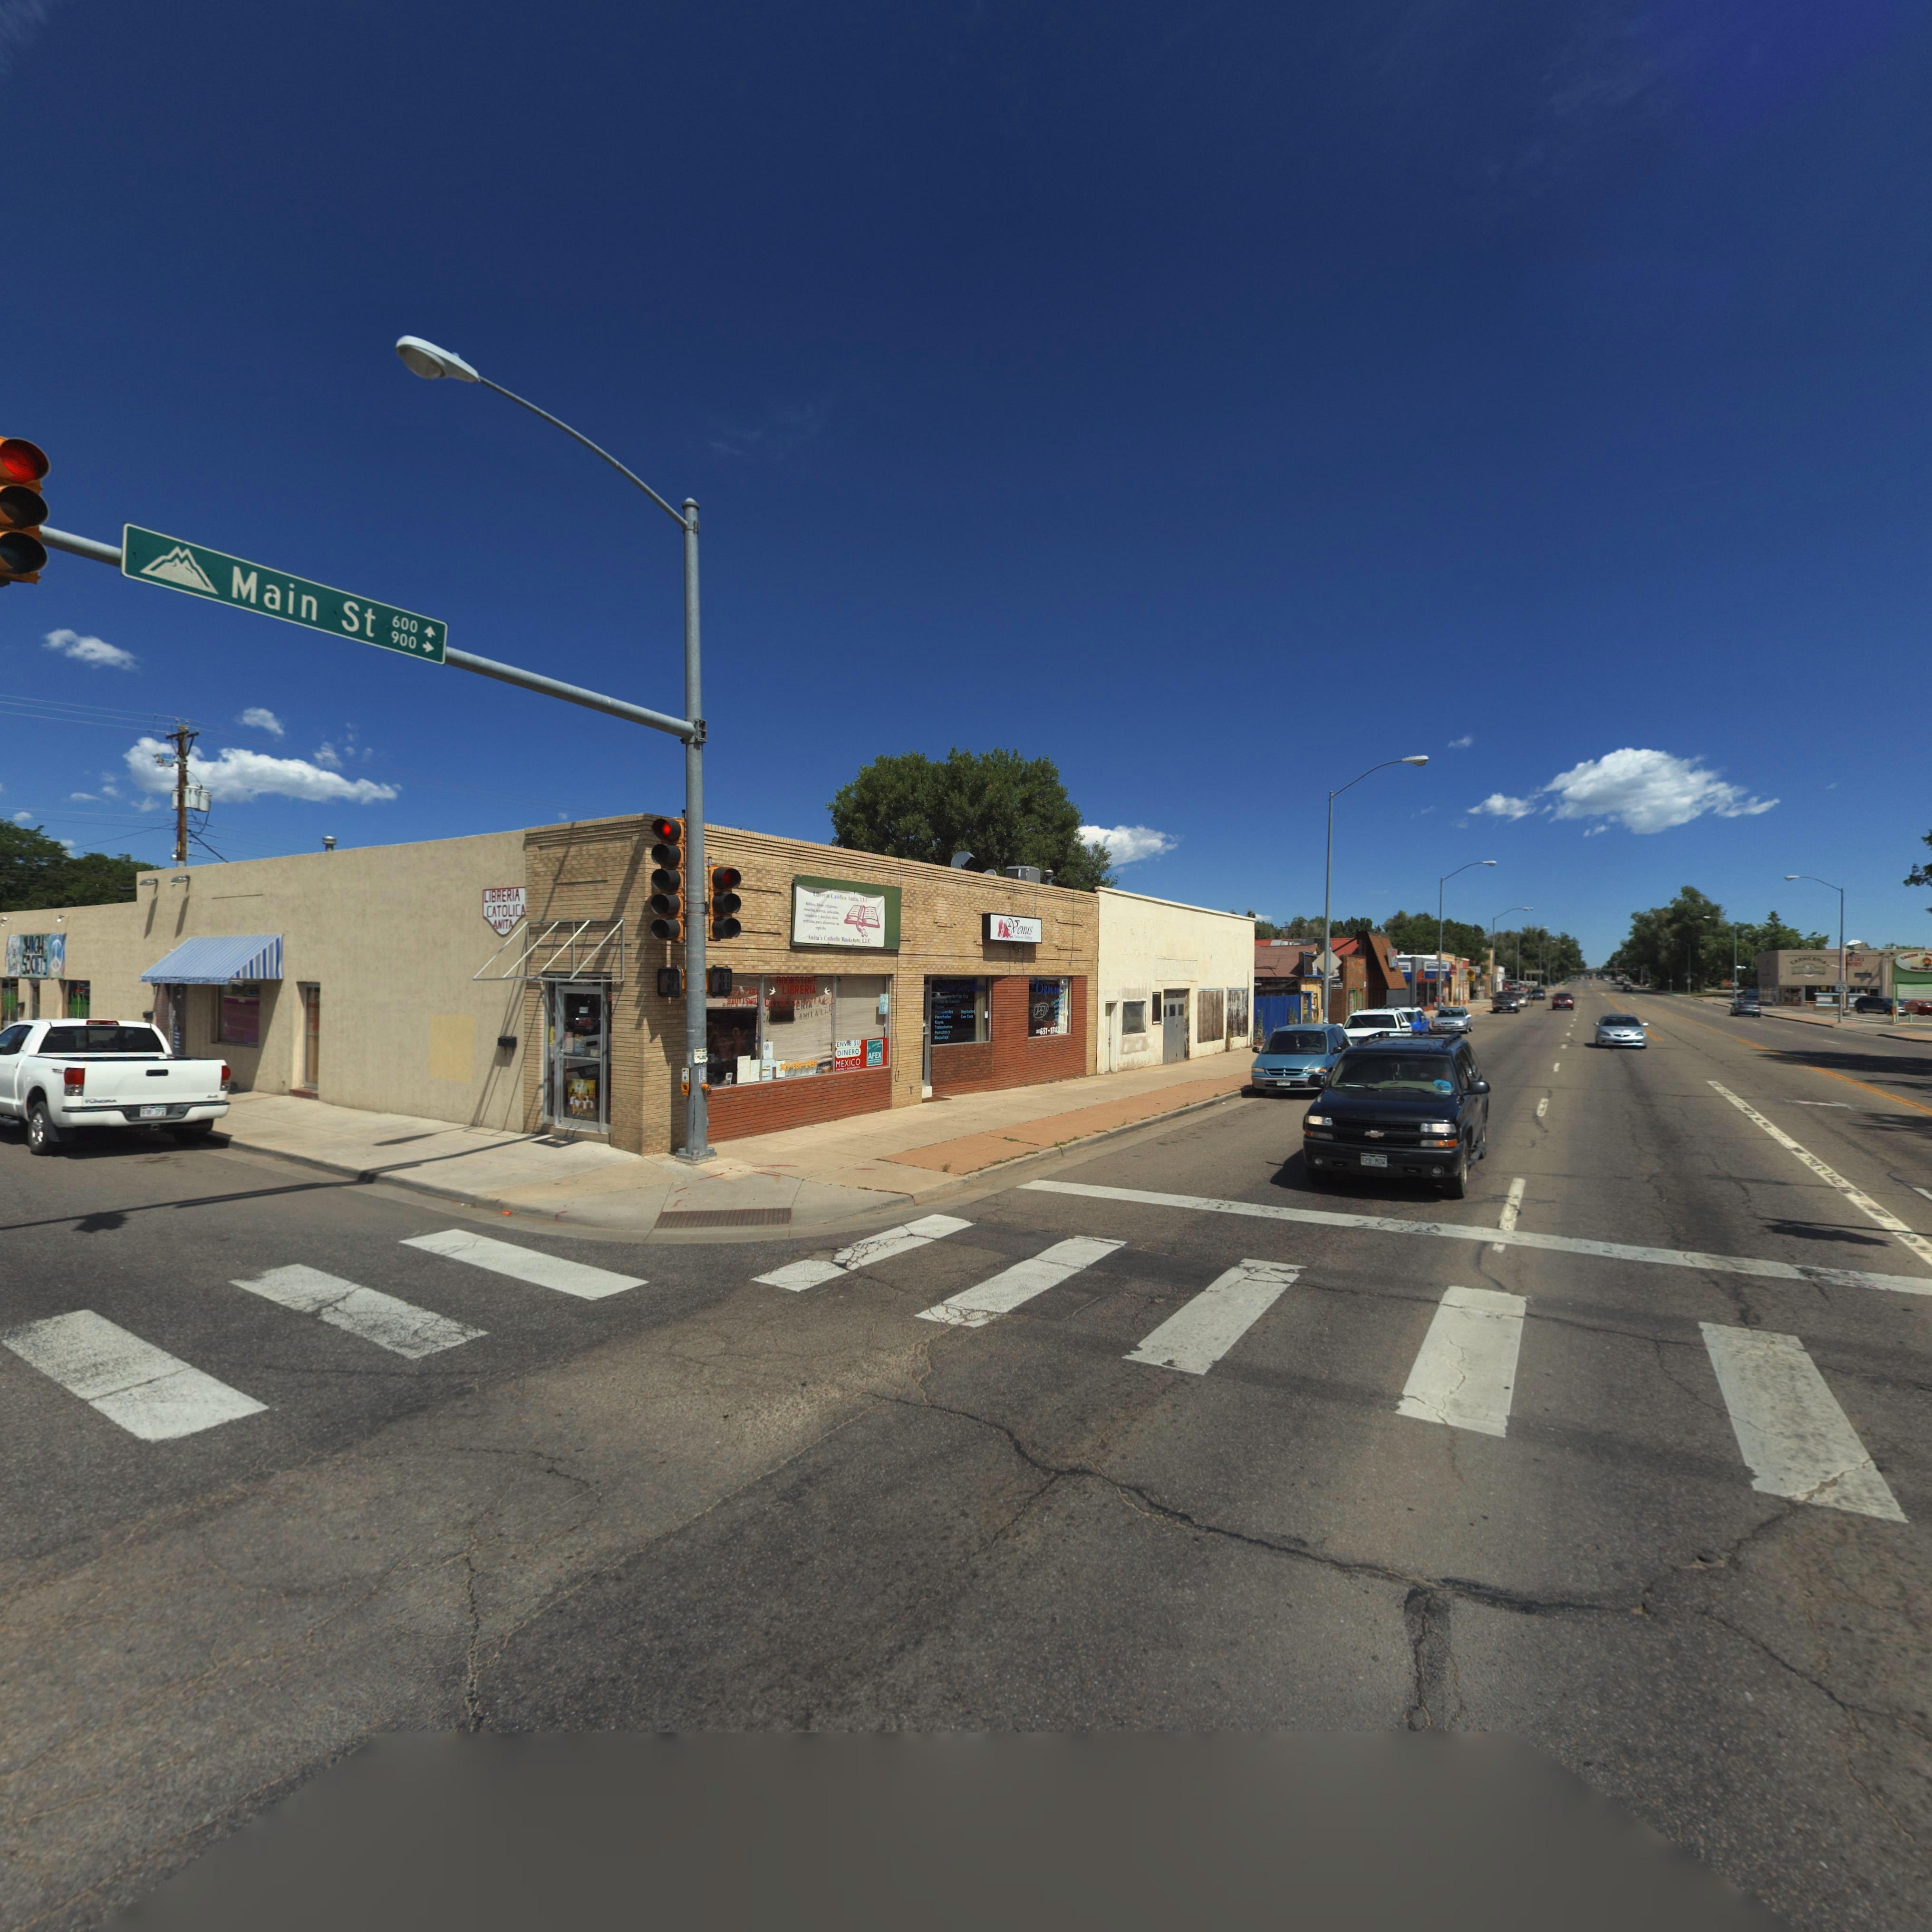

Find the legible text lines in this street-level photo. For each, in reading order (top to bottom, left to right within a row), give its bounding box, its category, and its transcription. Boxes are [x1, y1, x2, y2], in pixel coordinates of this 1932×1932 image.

[230, 564, 378, 638] StreetName: Main St
[391, 614, 419, 634] StreetNumberRange: 600
[391, 629, 436, 653] StreetNumberRange: 900->
[483, 888, 521, 903] BusinessName: LIBRERIA
[813, 890, 868, 903] BusinessName: L*breria C****ico Ani** LLC
[485, 903, 527, 918] BusinessName: CATOLICA
[492, 918, 514, 929] BusinessName: ANITA
[1008, 918, 1034, 935] BusinessName: Venus
[24, 934, 45, 955] BusinessName: H*GH
[807, 934, 871, 944] BusinessName: Anita's Catholic Bookstore LLC
[20, 953, 48, 976] BusinessName: SOC****
[776, 975, 819, 985] BusinessName: BOOKSTORE
[782, 985, 816, 995] BusinessName: LIBRERIA
[1032, 977, 1064, 995] BusinessName: Ven**
[764, 996, 801, 1006] BusinessName: C*TOL*C*